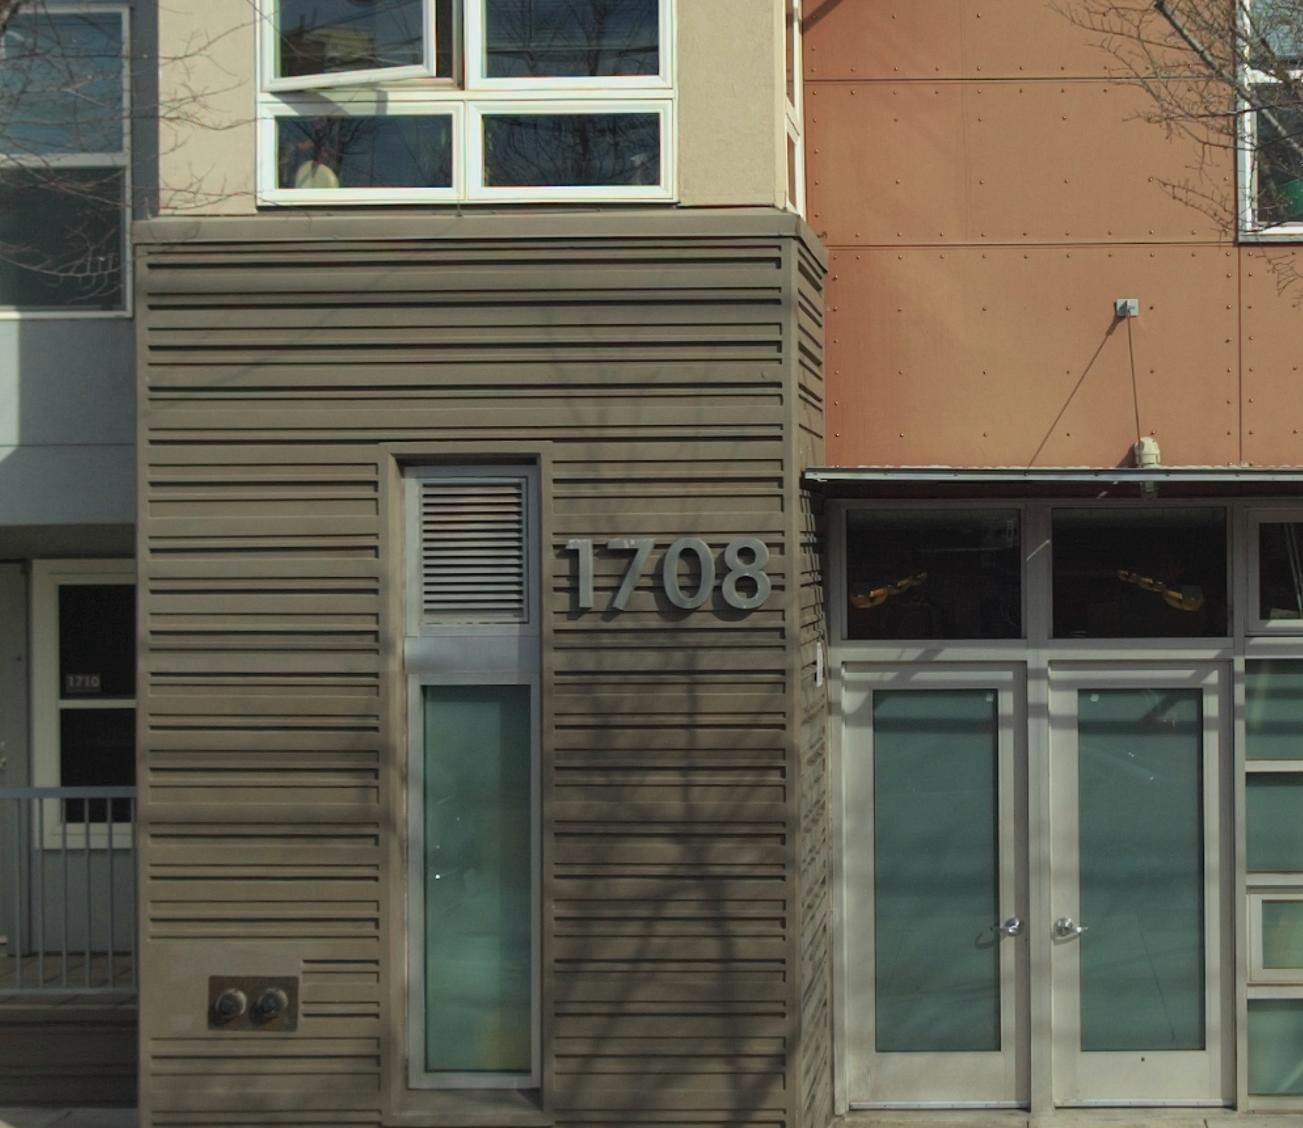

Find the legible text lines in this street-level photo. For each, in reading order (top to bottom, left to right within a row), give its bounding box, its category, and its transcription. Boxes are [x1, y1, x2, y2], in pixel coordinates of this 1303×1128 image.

[561, 535, 774, 612] StreetNumber: 1708
[66, 673, 102, 690] StreetNumber: 1710